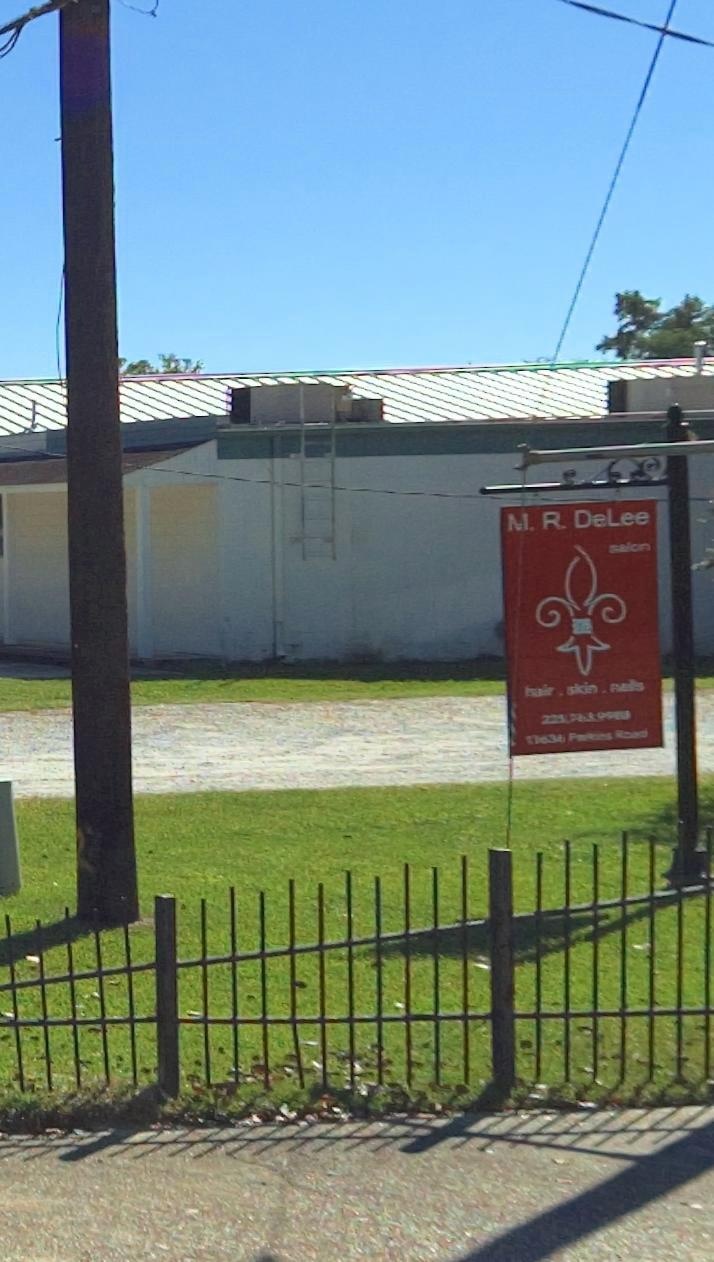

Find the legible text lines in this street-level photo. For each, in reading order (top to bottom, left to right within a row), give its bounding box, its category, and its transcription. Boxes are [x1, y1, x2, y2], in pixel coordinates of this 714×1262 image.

[506, 506, 651, 533] BusinessName: M.R. DeLee
[607, 540, 653, 556] BusinessName: salon
[521, 677, 648, 704] None: hair. skin. nails